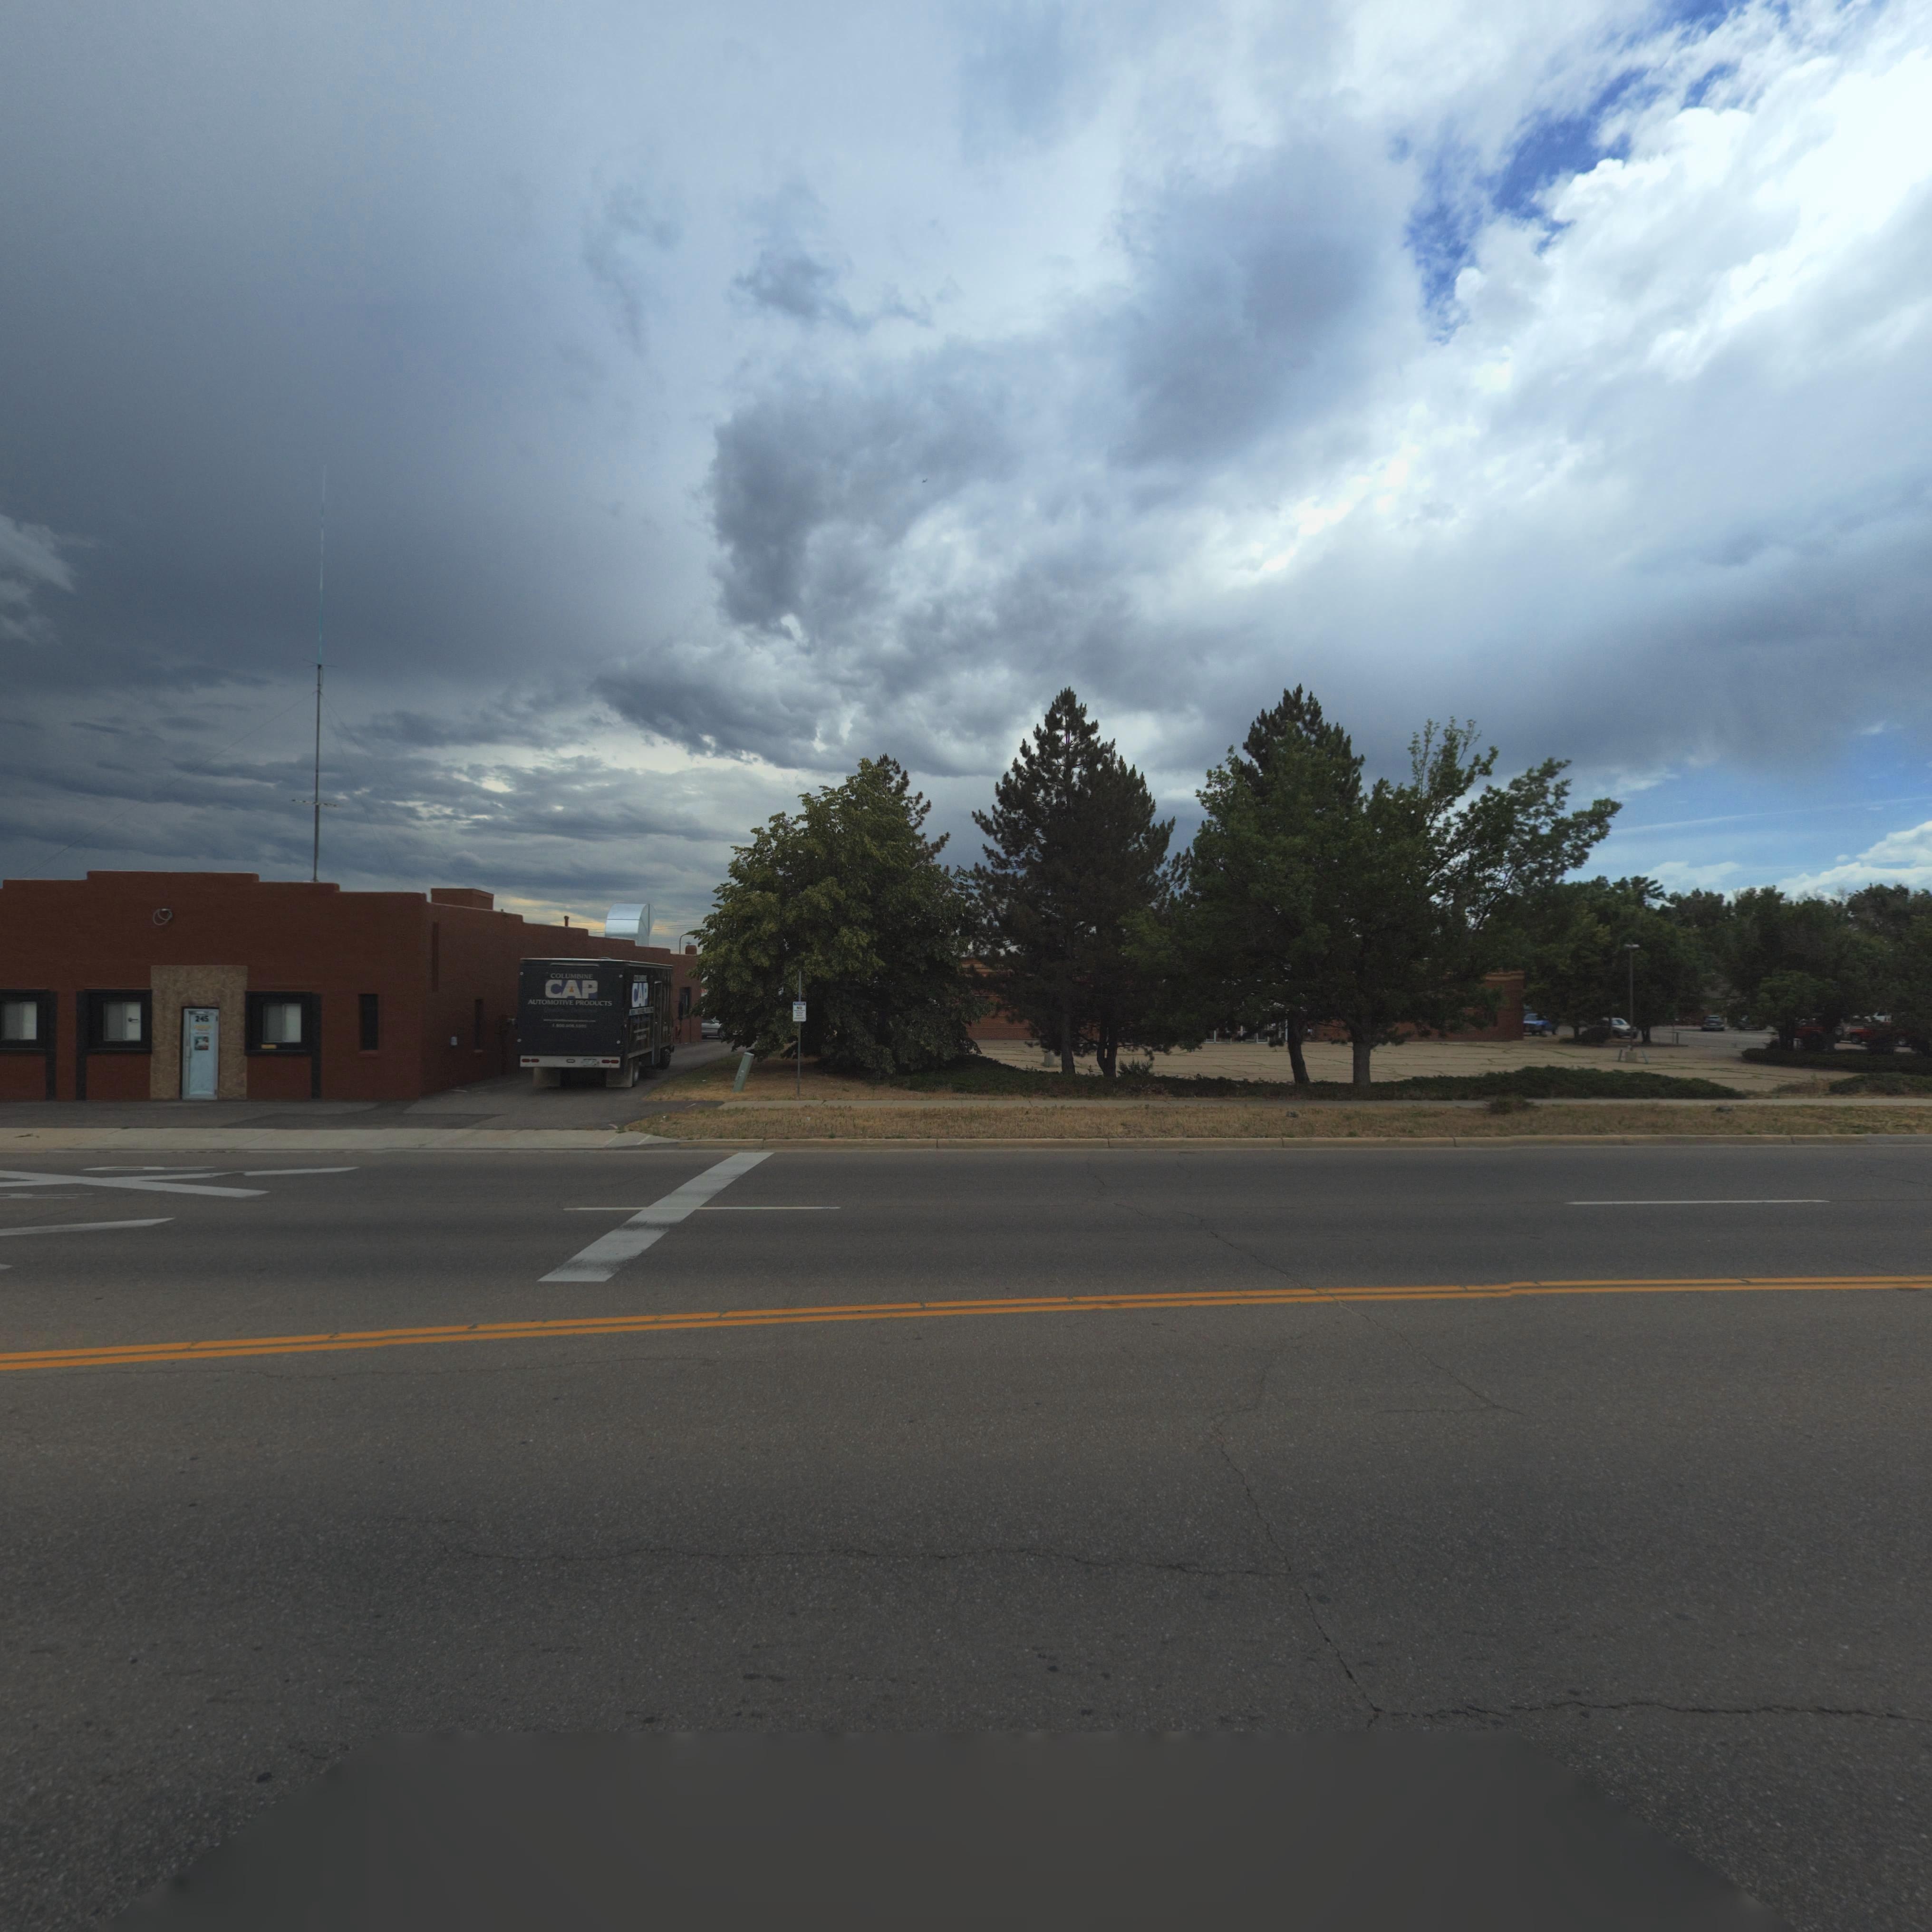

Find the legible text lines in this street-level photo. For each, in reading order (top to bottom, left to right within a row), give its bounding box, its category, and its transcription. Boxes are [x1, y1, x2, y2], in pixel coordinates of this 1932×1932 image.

[195, 1015, 209, 1022] StreetNumber: 245